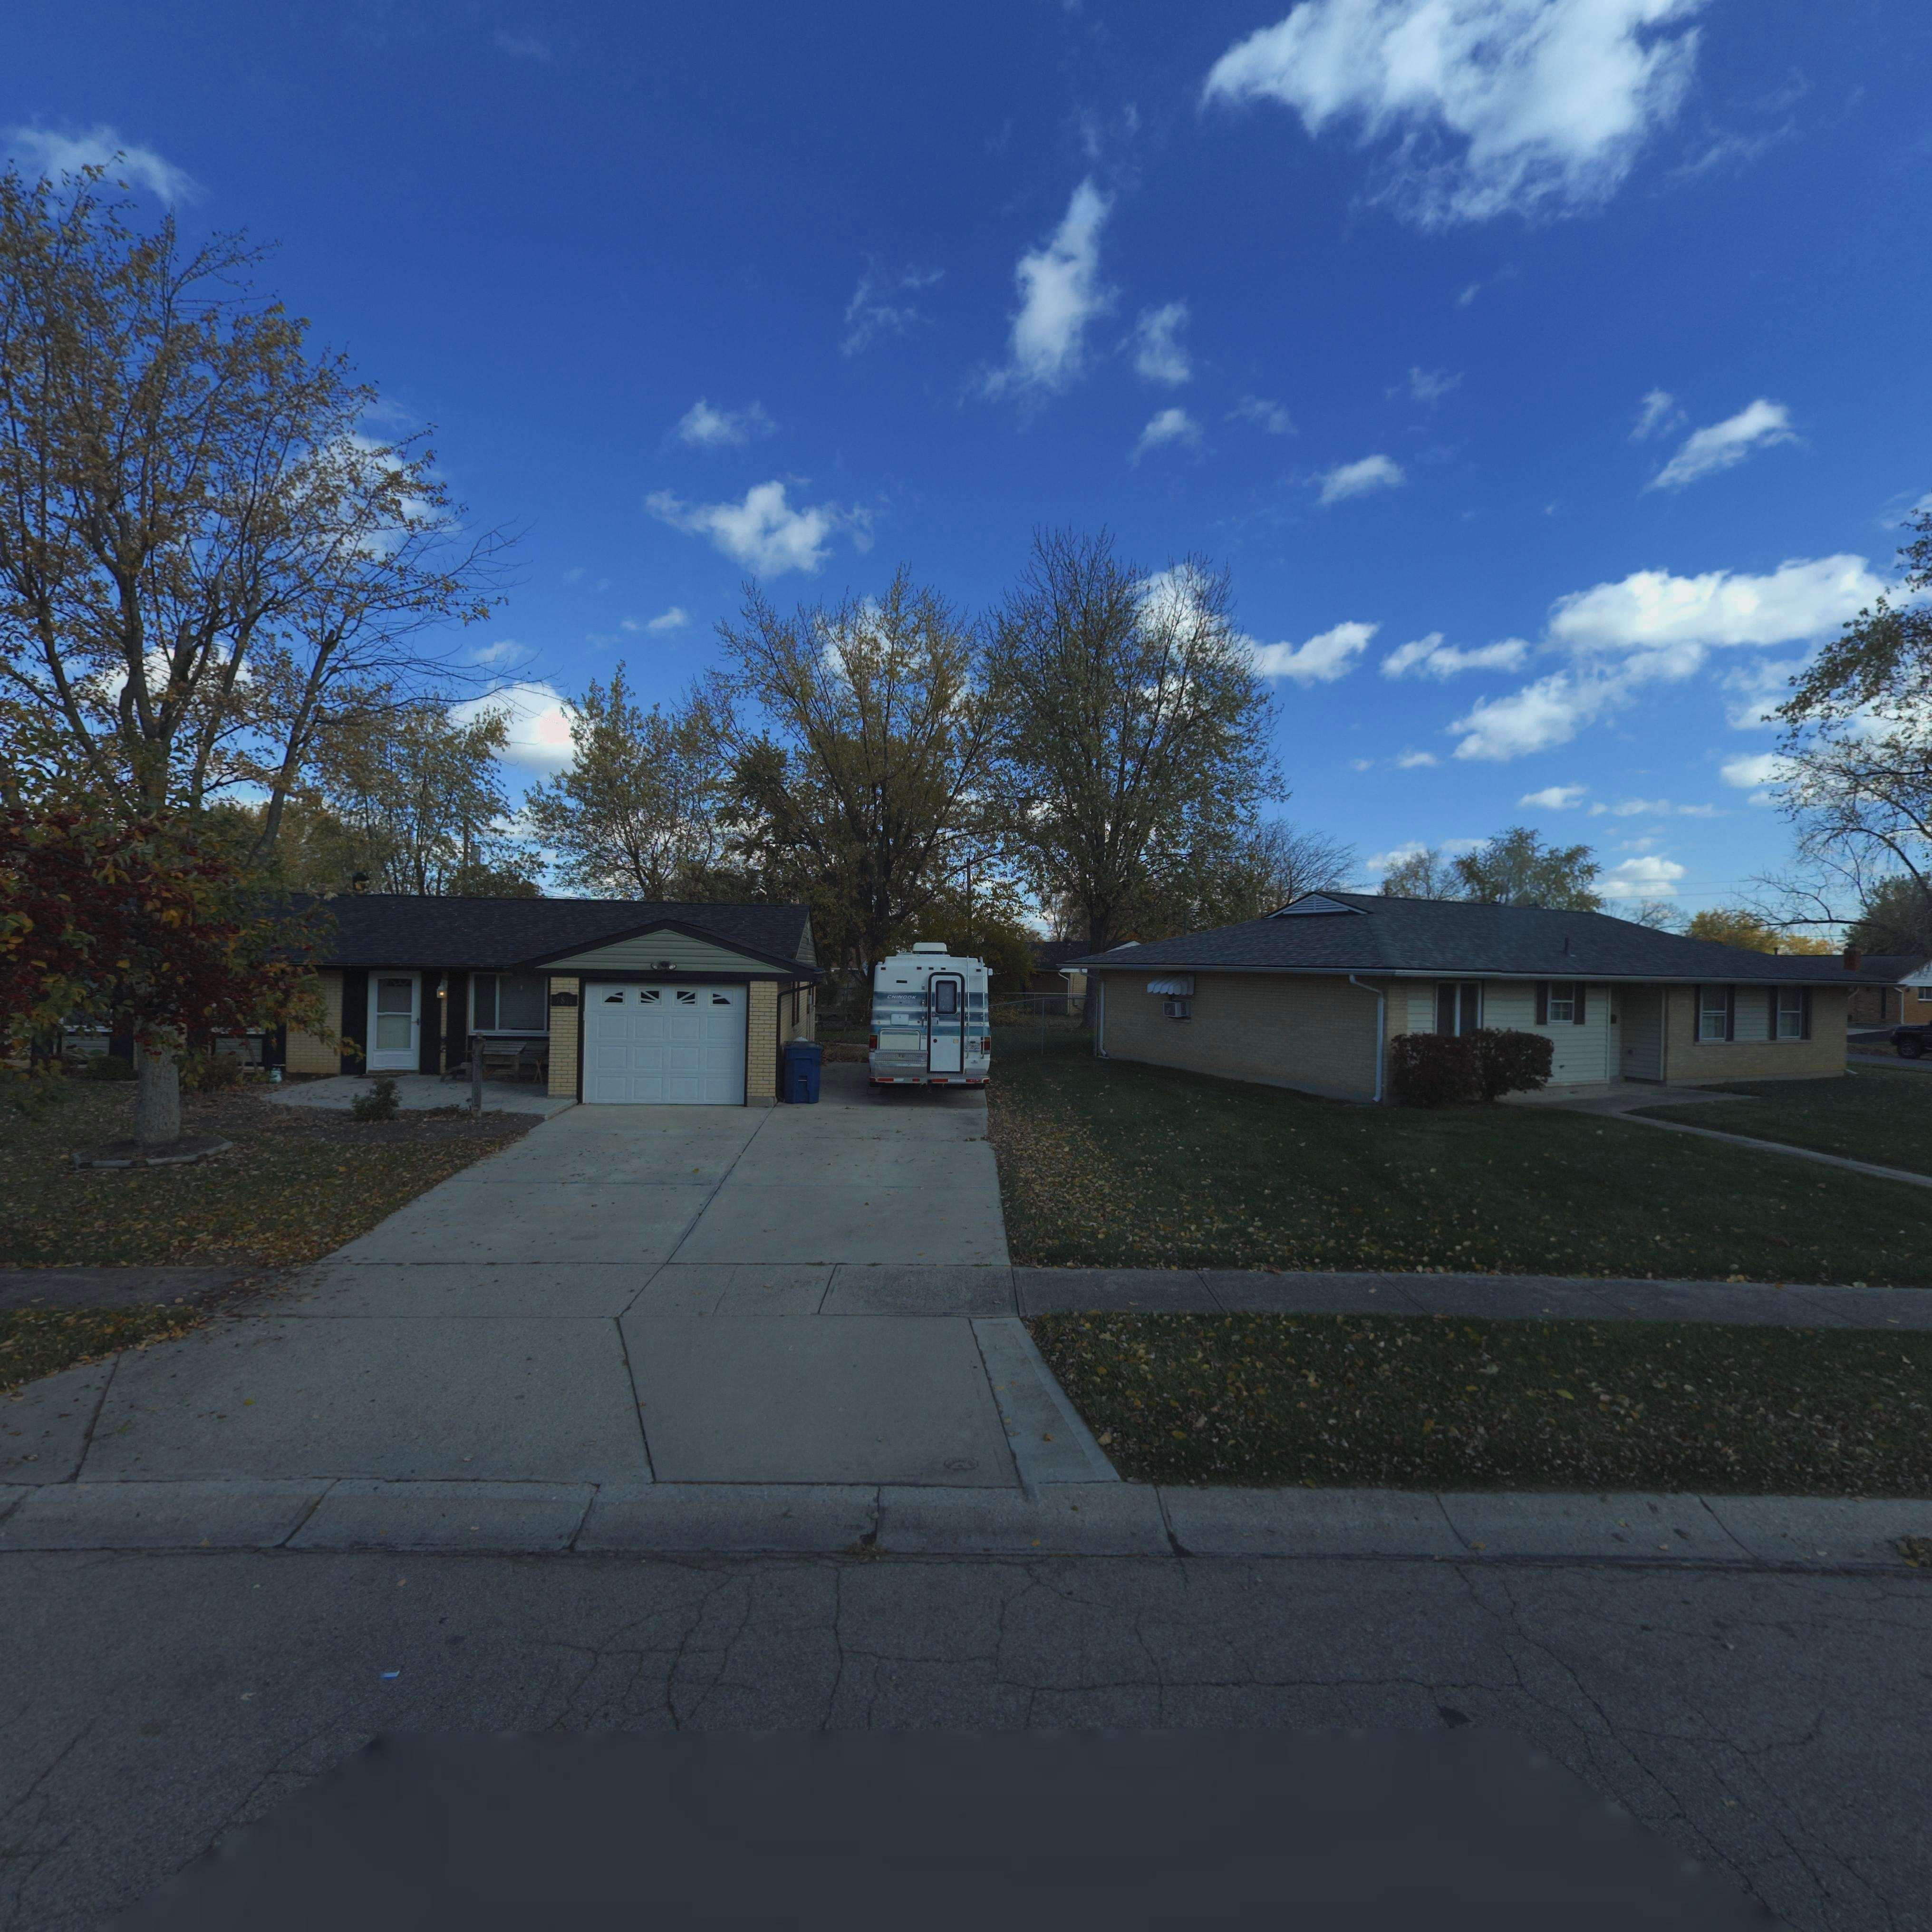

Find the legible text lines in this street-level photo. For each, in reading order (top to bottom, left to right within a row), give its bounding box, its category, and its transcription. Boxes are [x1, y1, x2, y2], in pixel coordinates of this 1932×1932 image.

[555, 995, 573, 1005] StreetNumber: 7811